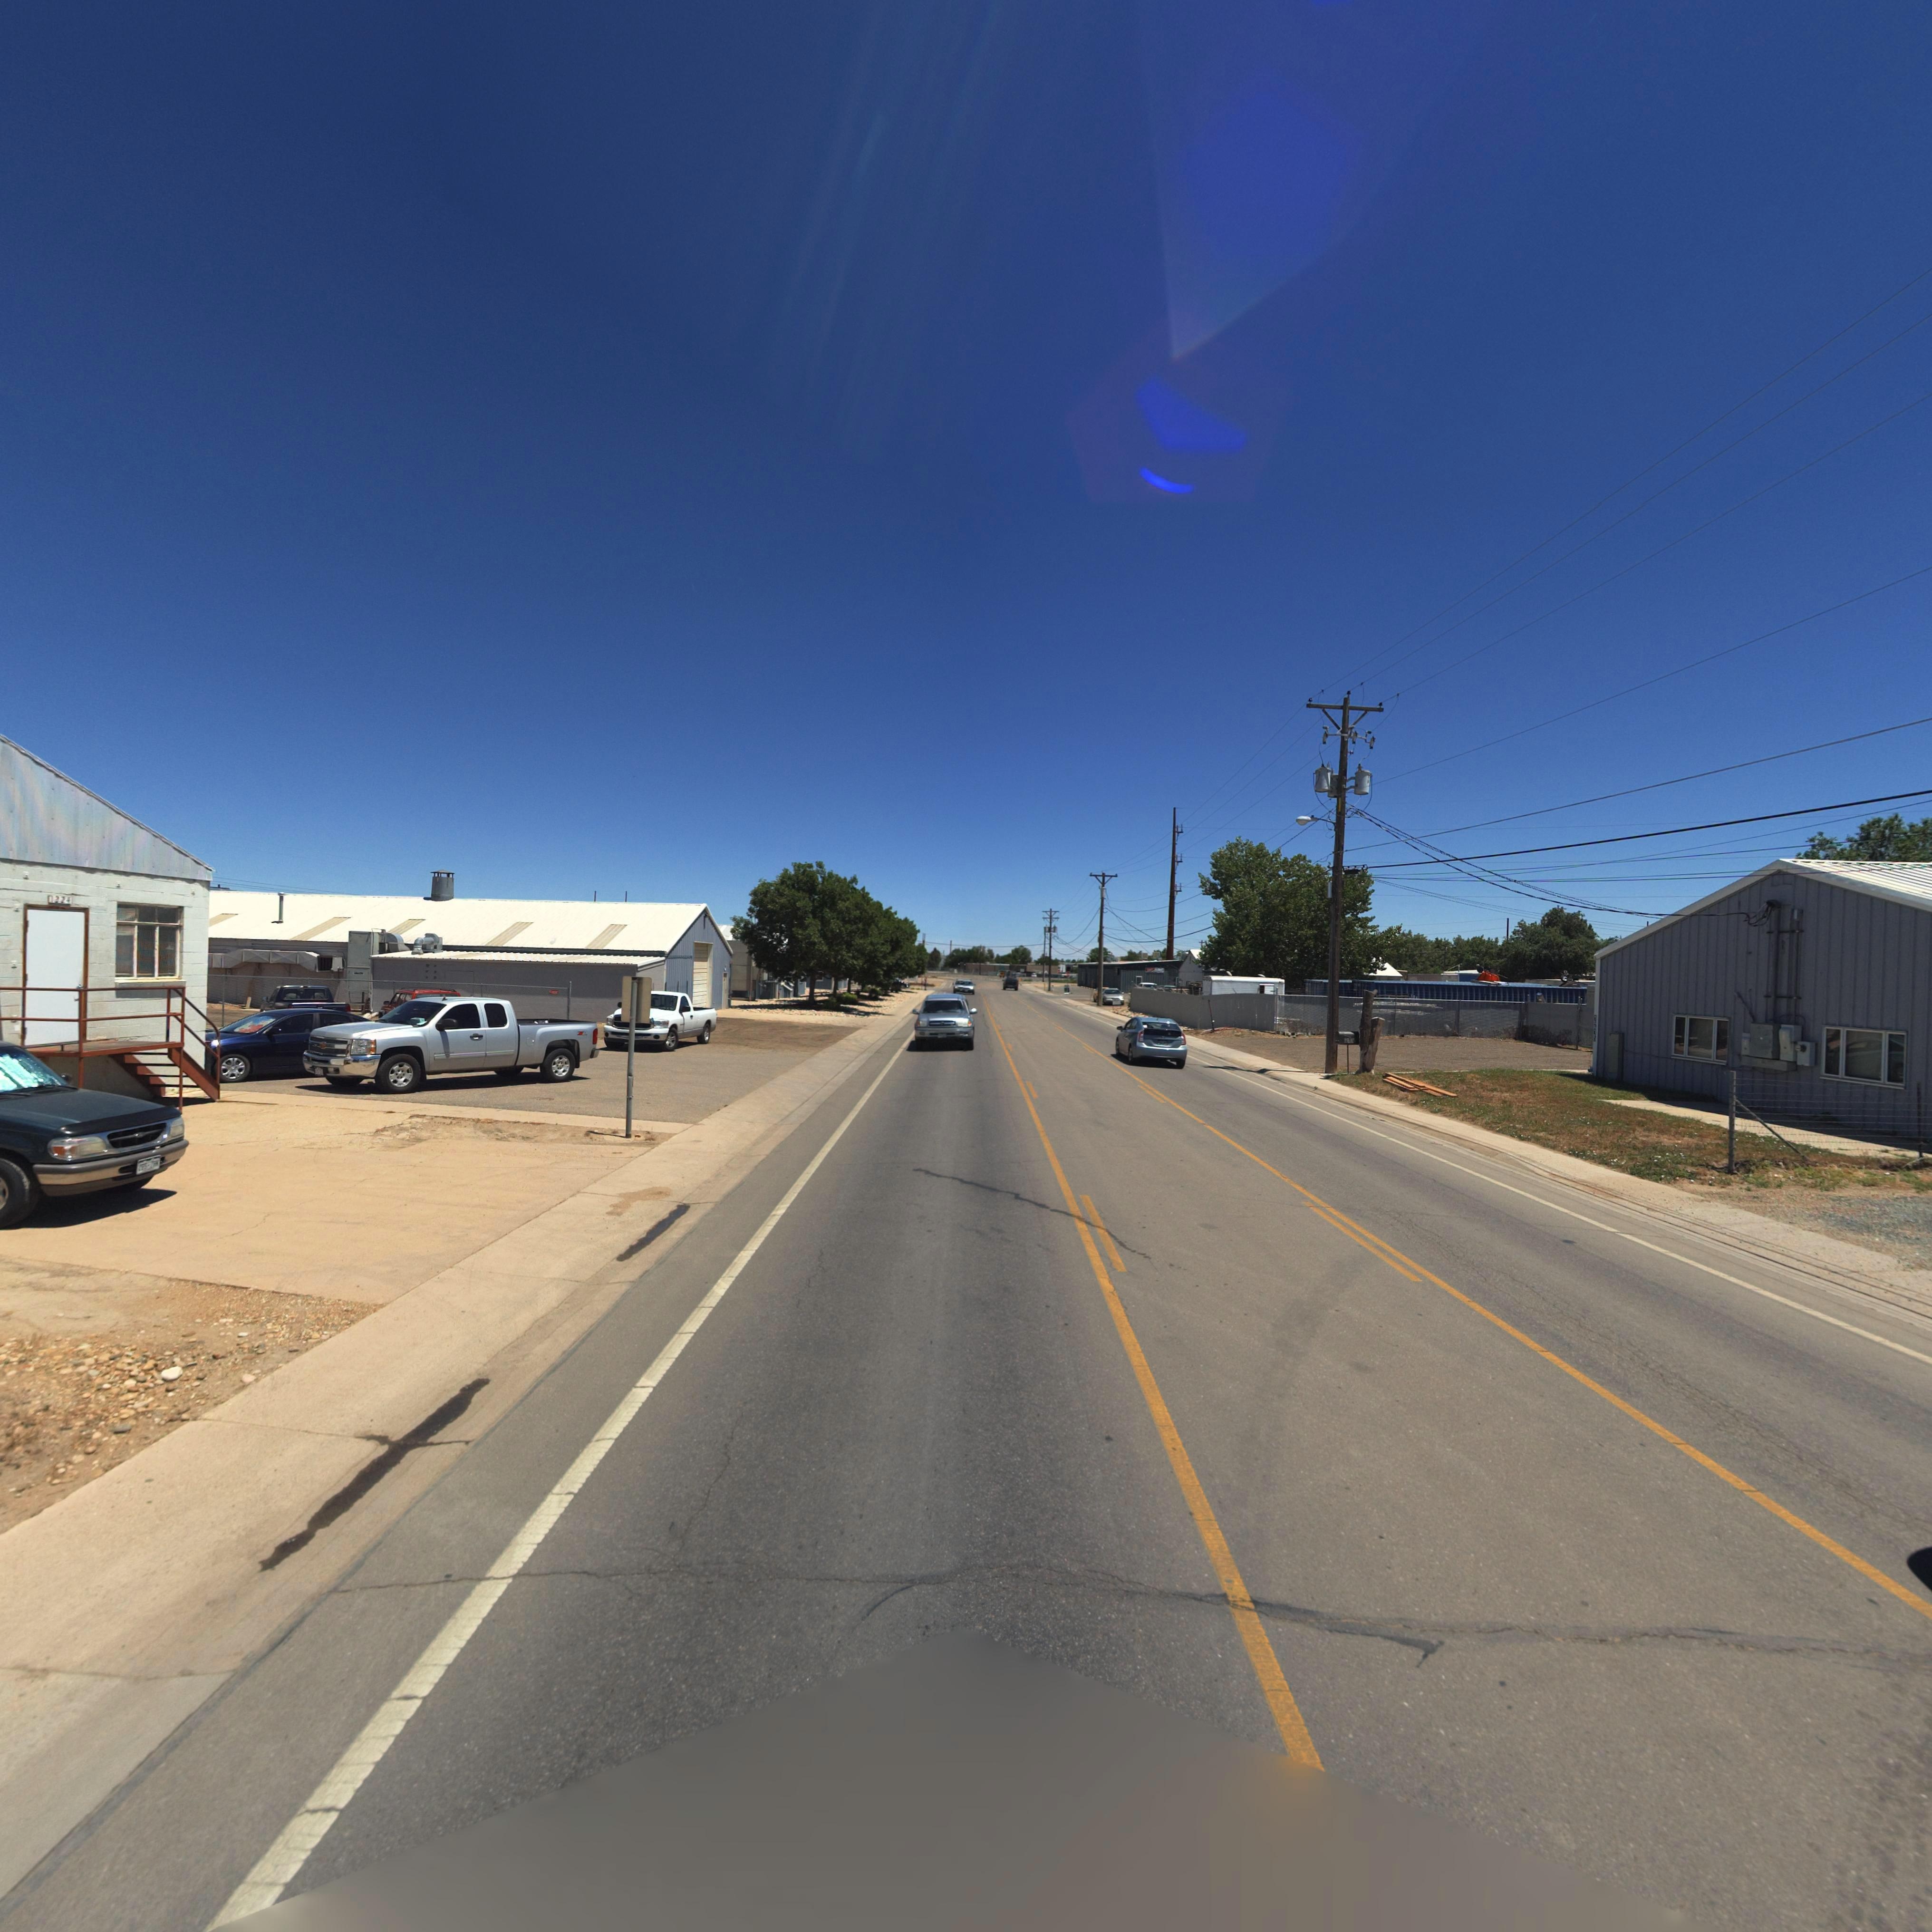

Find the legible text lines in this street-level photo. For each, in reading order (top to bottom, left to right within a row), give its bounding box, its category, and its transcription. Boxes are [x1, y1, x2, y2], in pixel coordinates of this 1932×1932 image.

[50, 895, 71, 903] StreetNumber: 1224
[1593, 1014, 1596, 1042] StreetNumber: 1215
[1343, 1037, 1356, 1043] StreetNumber: 1215